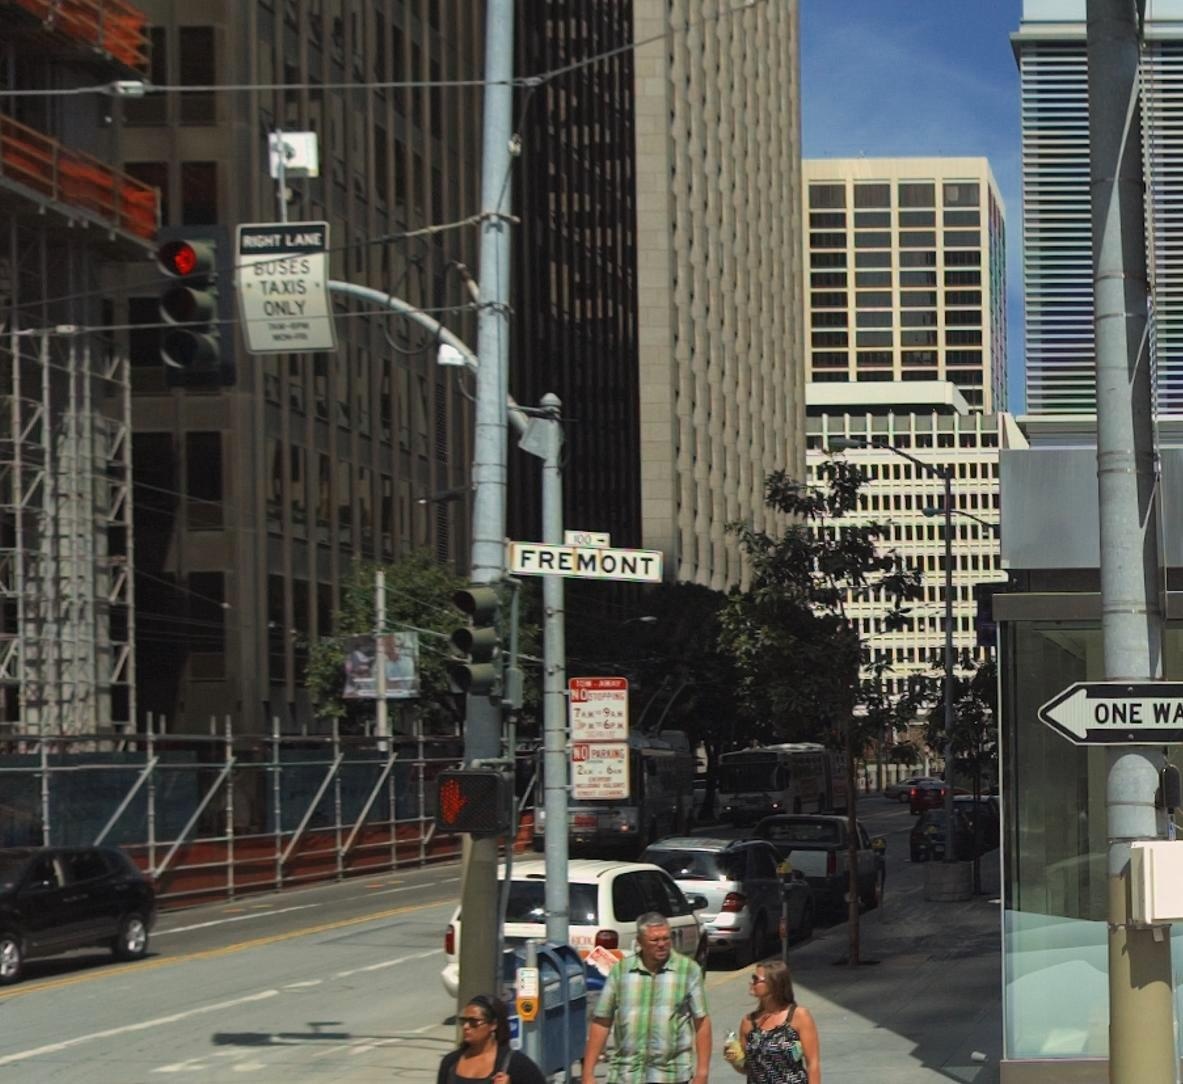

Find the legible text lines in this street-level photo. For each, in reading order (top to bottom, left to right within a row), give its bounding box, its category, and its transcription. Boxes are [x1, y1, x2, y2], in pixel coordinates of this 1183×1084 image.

[242, 230, 321, 250] None: RIGHT LANE
[253, 258, 312, 277] None: BUSES
[258, 278, 311, 297] None: TAXIS
[260, 298, 310, 318] None: ONLY
[571, 531, 608, 546] StreetNumberRange: 100->
[518, 547, 654, 576] StreetName: FREMONT
[570, 688, 625, 702] None: NO STOPPING
[571, 706, 623, 719] None: 7A.M-9A.M
[1093, 702, 1171, 725] None: ONE W
[572, 744, 625, 761] None: NO PARKING
[575, 764, 585, 776] None: 2
[604, 764, 615, 775] None: 6